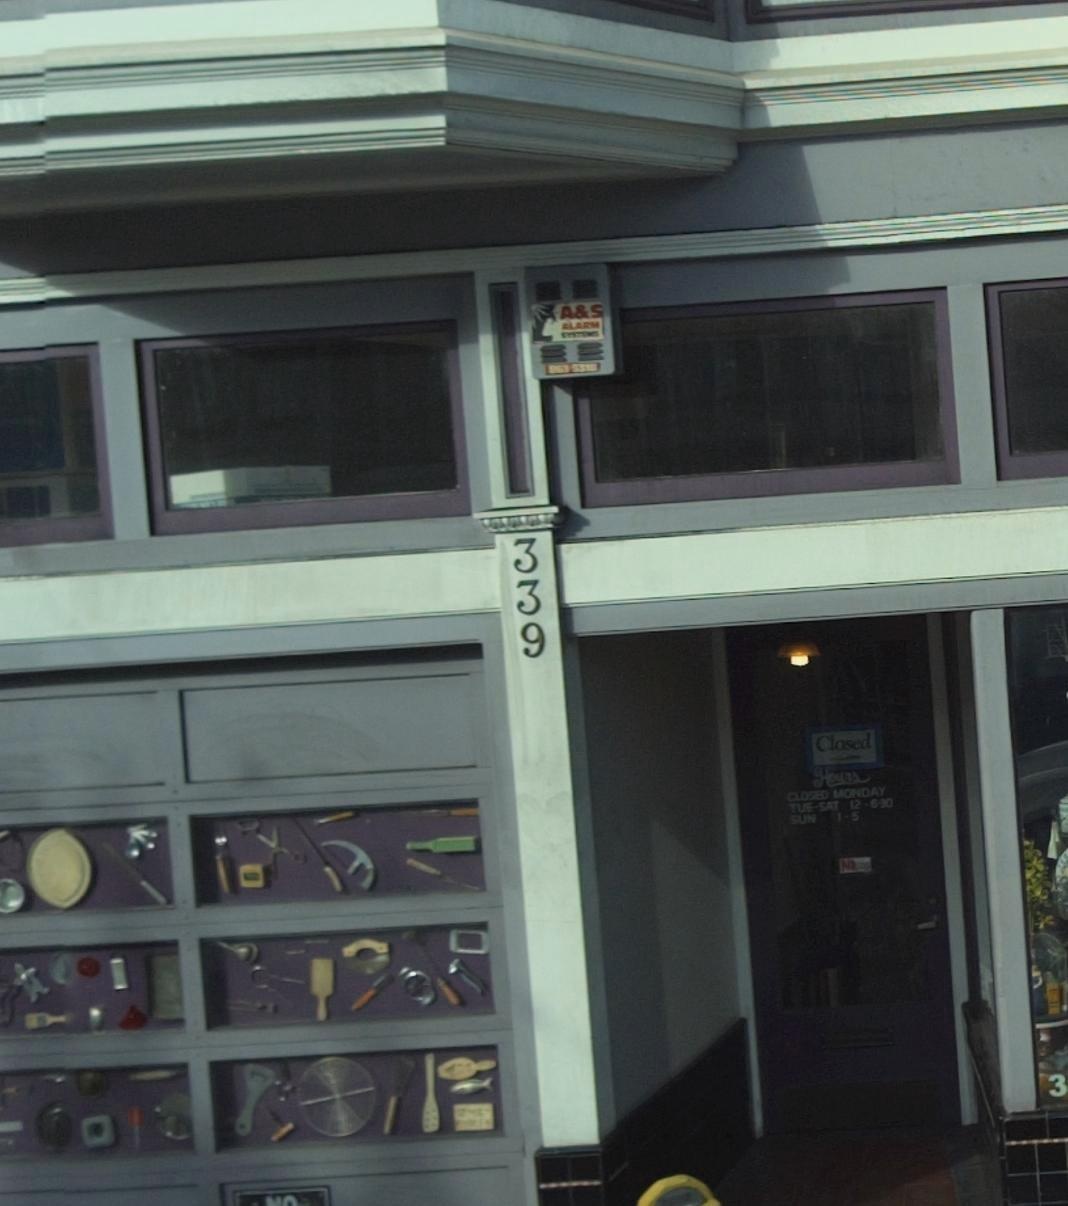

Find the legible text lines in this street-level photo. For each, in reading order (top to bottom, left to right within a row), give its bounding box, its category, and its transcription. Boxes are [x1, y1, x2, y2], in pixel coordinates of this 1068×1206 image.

[557, 301, 607, 323] None: A & S
[510, 535, 547, 659] StreetNumber: 339
[813, 728, 875, 754] None: Closed
[784, 784, 888, 804] None: CLOSED MONDAY
[786, 795, 896, 815] None: TUE-SAT 12-6:30
[786, 810, 819, 828] None: SUN
[834, 809, 862, 825] None: 1-5
[1045, 1070, 1068, 1100] None: 3